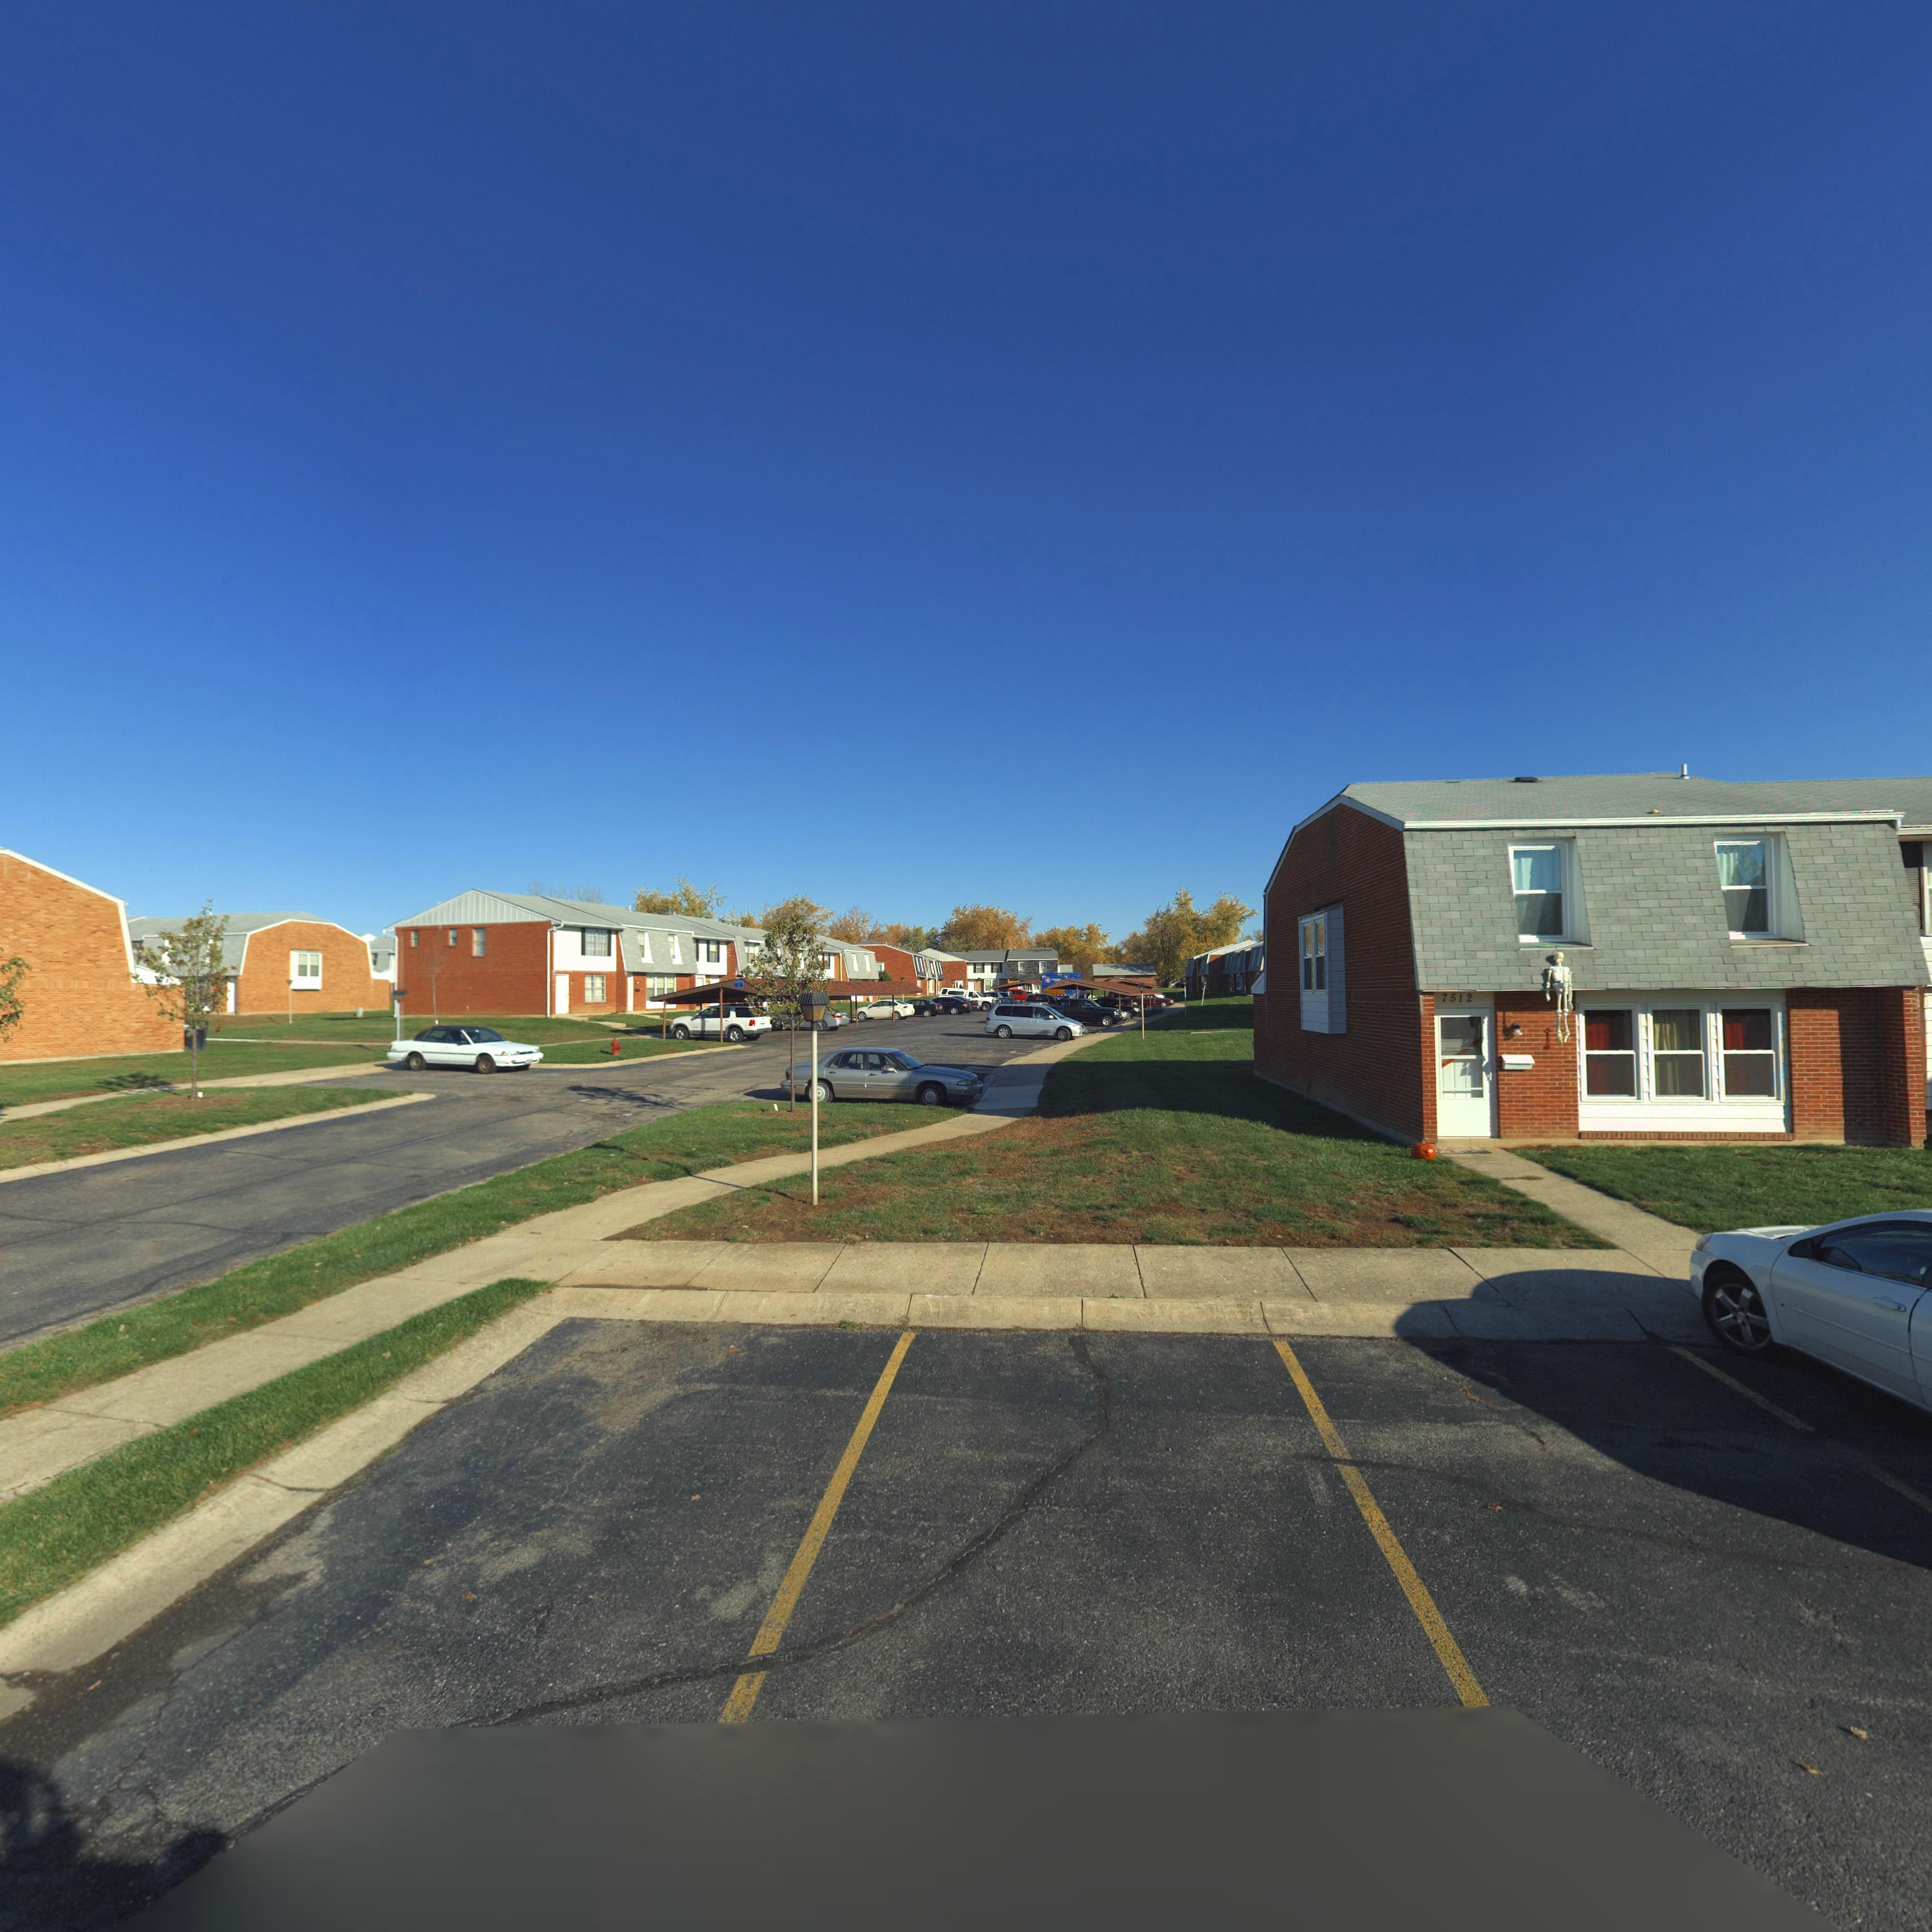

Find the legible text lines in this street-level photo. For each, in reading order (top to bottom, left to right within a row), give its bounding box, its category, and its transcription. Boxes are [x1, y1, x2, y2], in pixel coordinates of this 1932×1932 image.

[1441, 993, 1473, 1003] StreetNumber: 7512